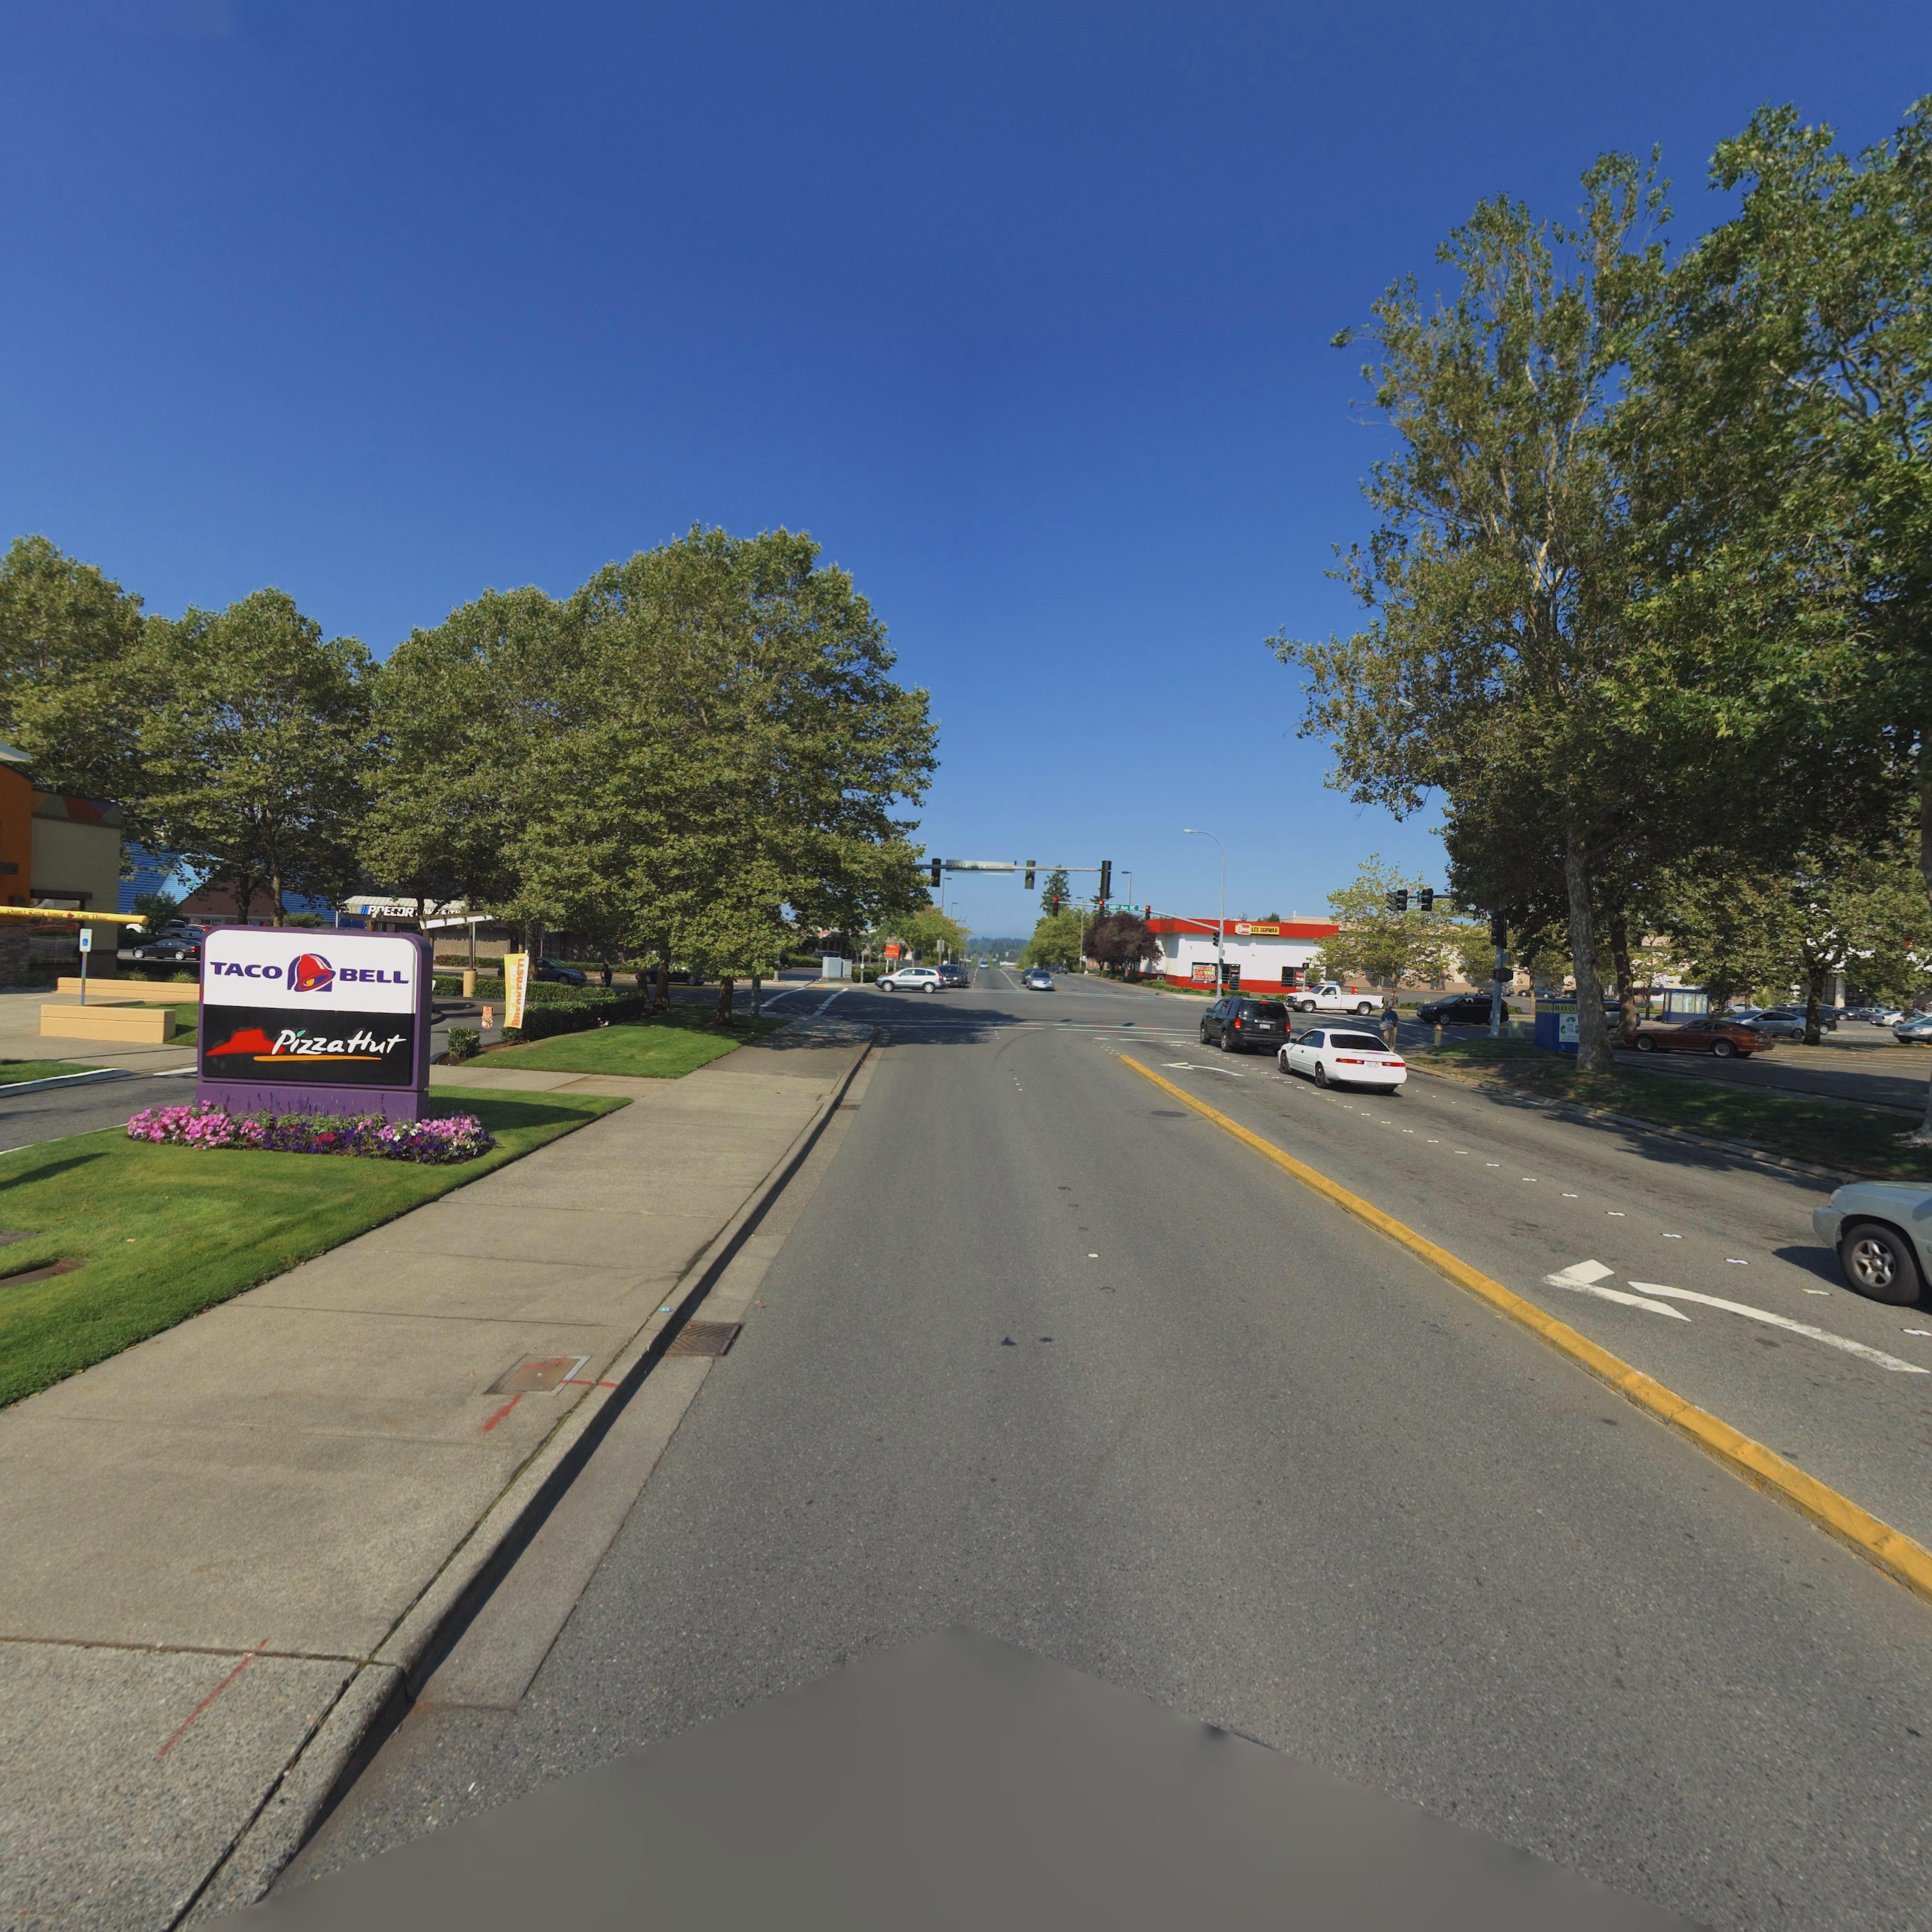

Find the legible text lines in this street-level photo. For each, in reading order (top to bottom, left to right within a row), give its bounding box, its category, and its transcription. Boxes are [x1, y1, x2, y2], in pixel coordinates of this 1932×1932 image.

[367, 905, 415, 918] BusinessName: P*ECOR
[1108, 904, 1136, 911] StreetName: 148** Ave NE
[1251, 926, 1278, 933] BusinessName: LES SCH*AB
[209, 960, 411, 985] BusinessName: TACO * BELL
[269, 1028, 408, 1055] BusinessName: Pizza Hut